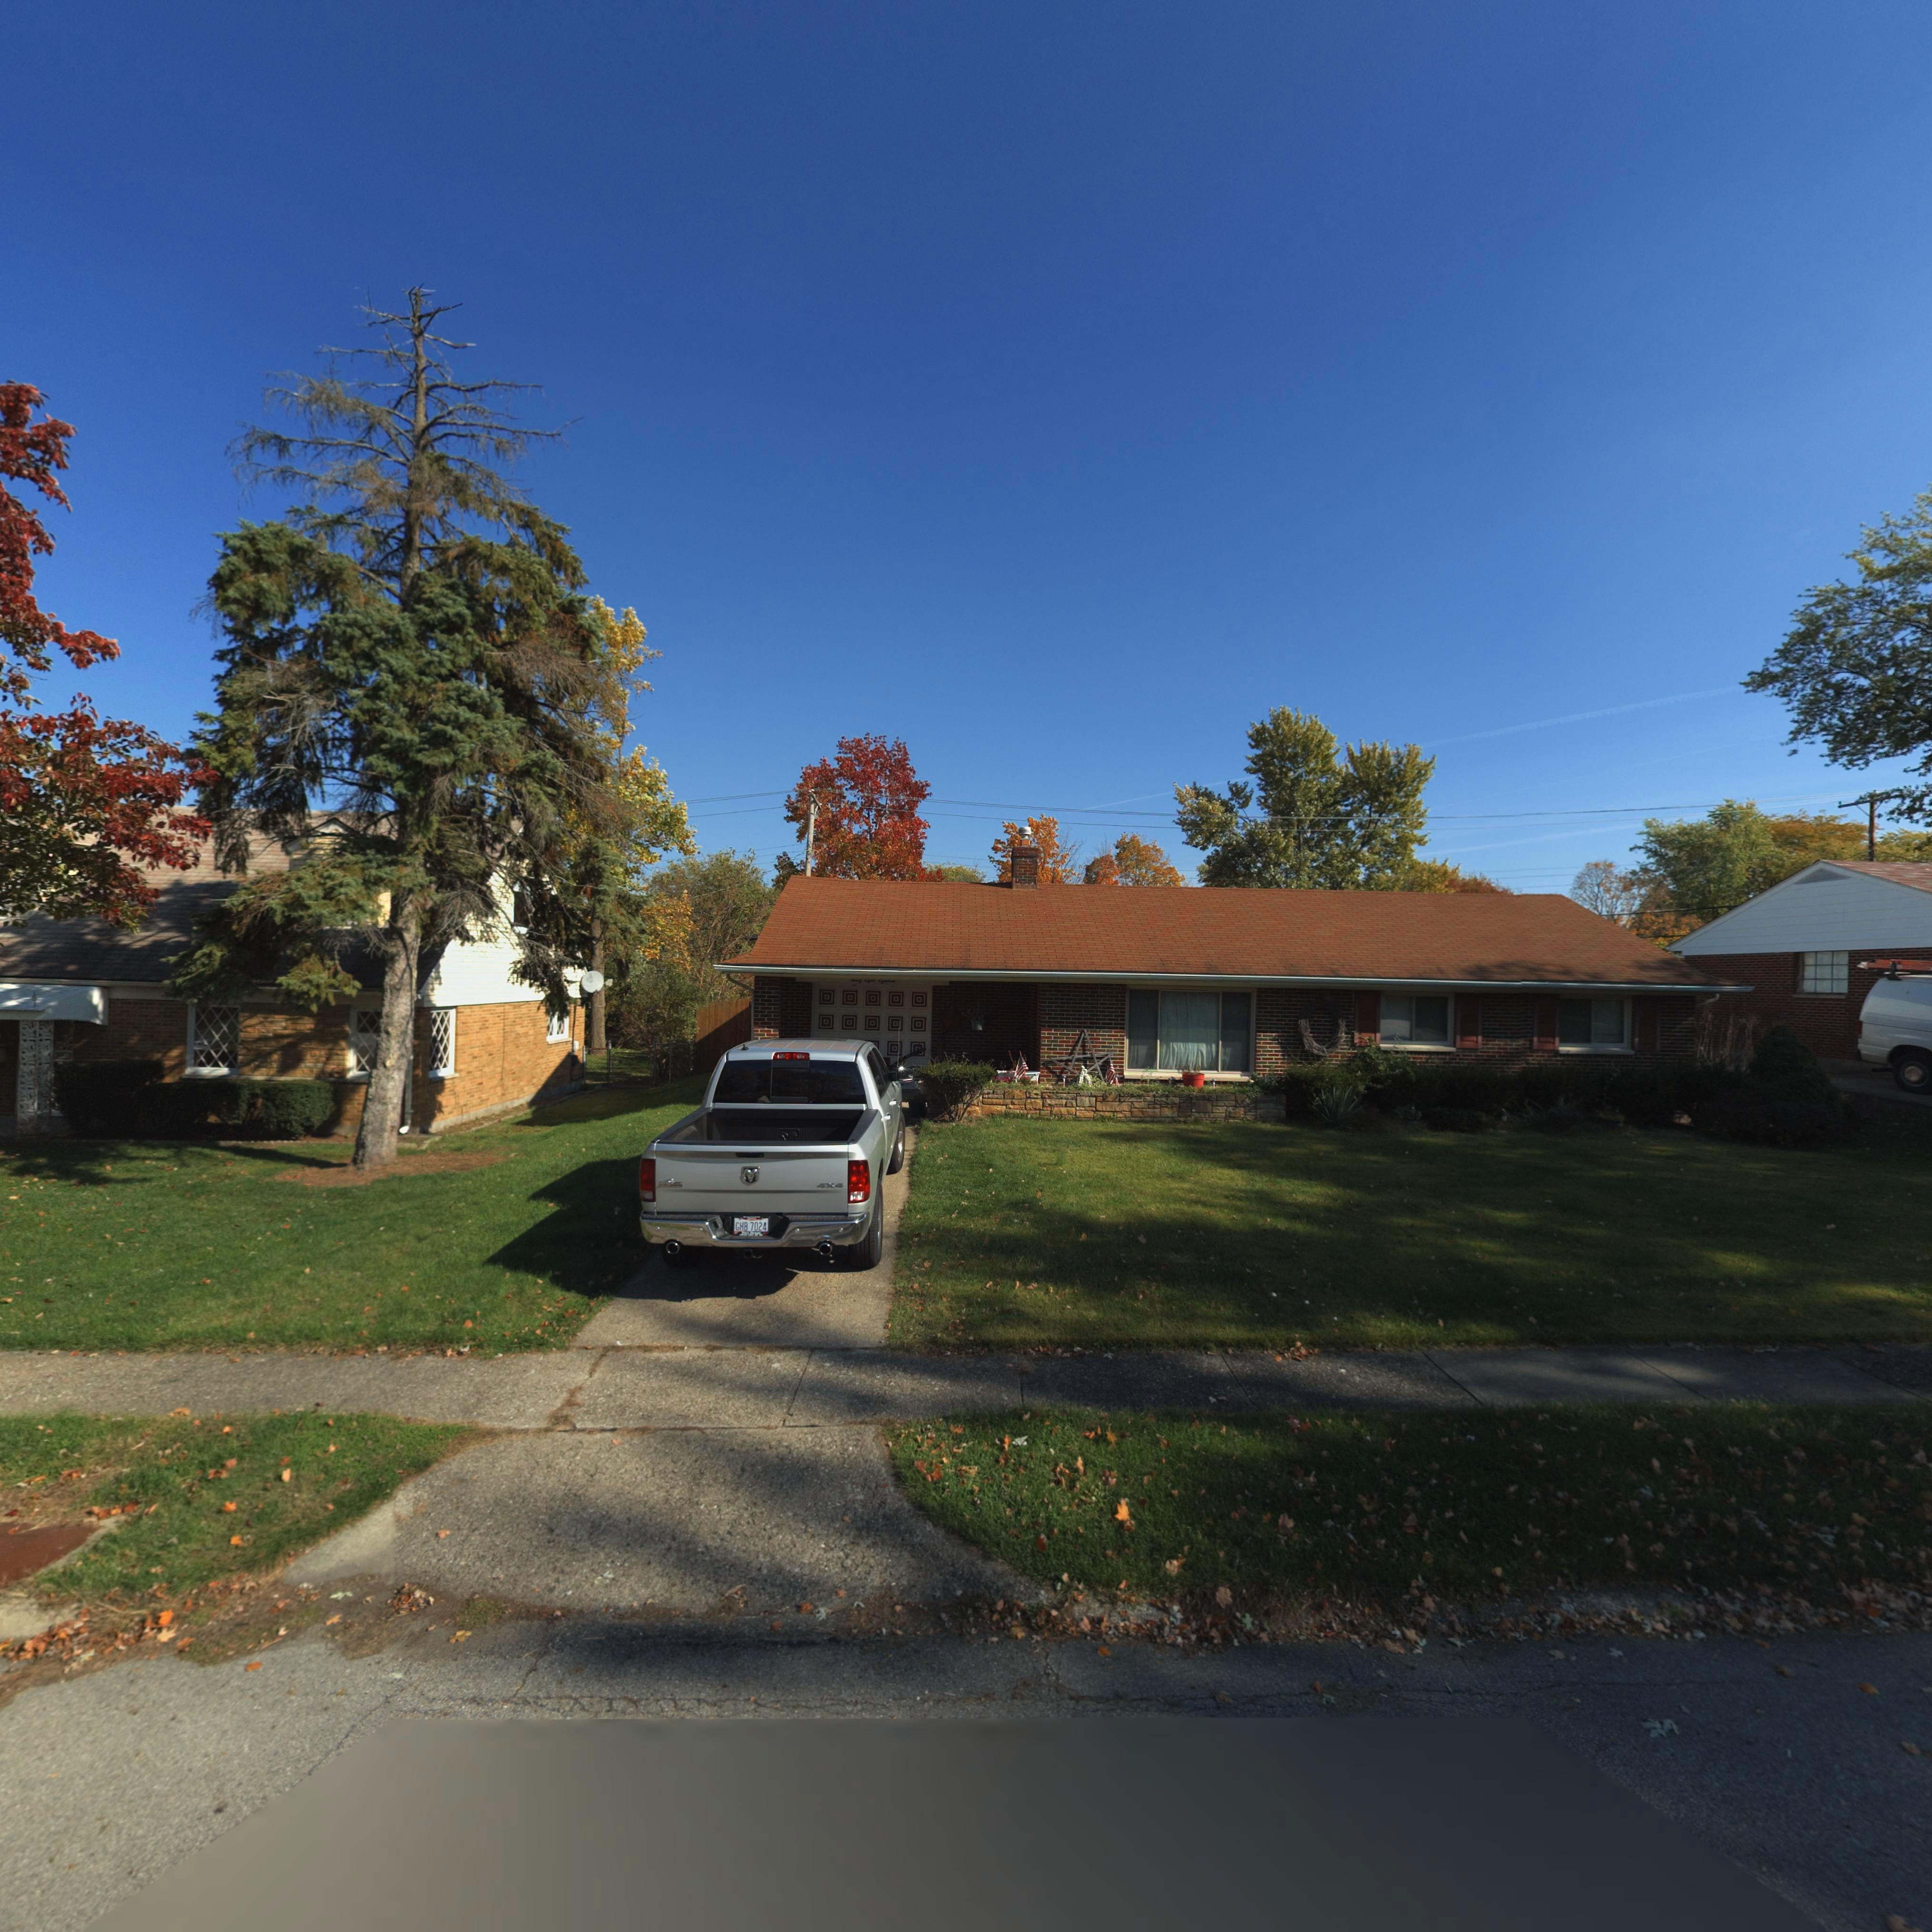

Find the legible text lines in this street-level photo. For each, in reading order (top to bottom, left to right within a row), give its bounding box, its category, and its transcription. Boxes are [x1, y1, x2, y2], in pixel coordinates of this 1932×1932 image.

[815, 1182, 844, 1189] None: 4X4
[734, 1220, 768, 1232] None: GHB 7024